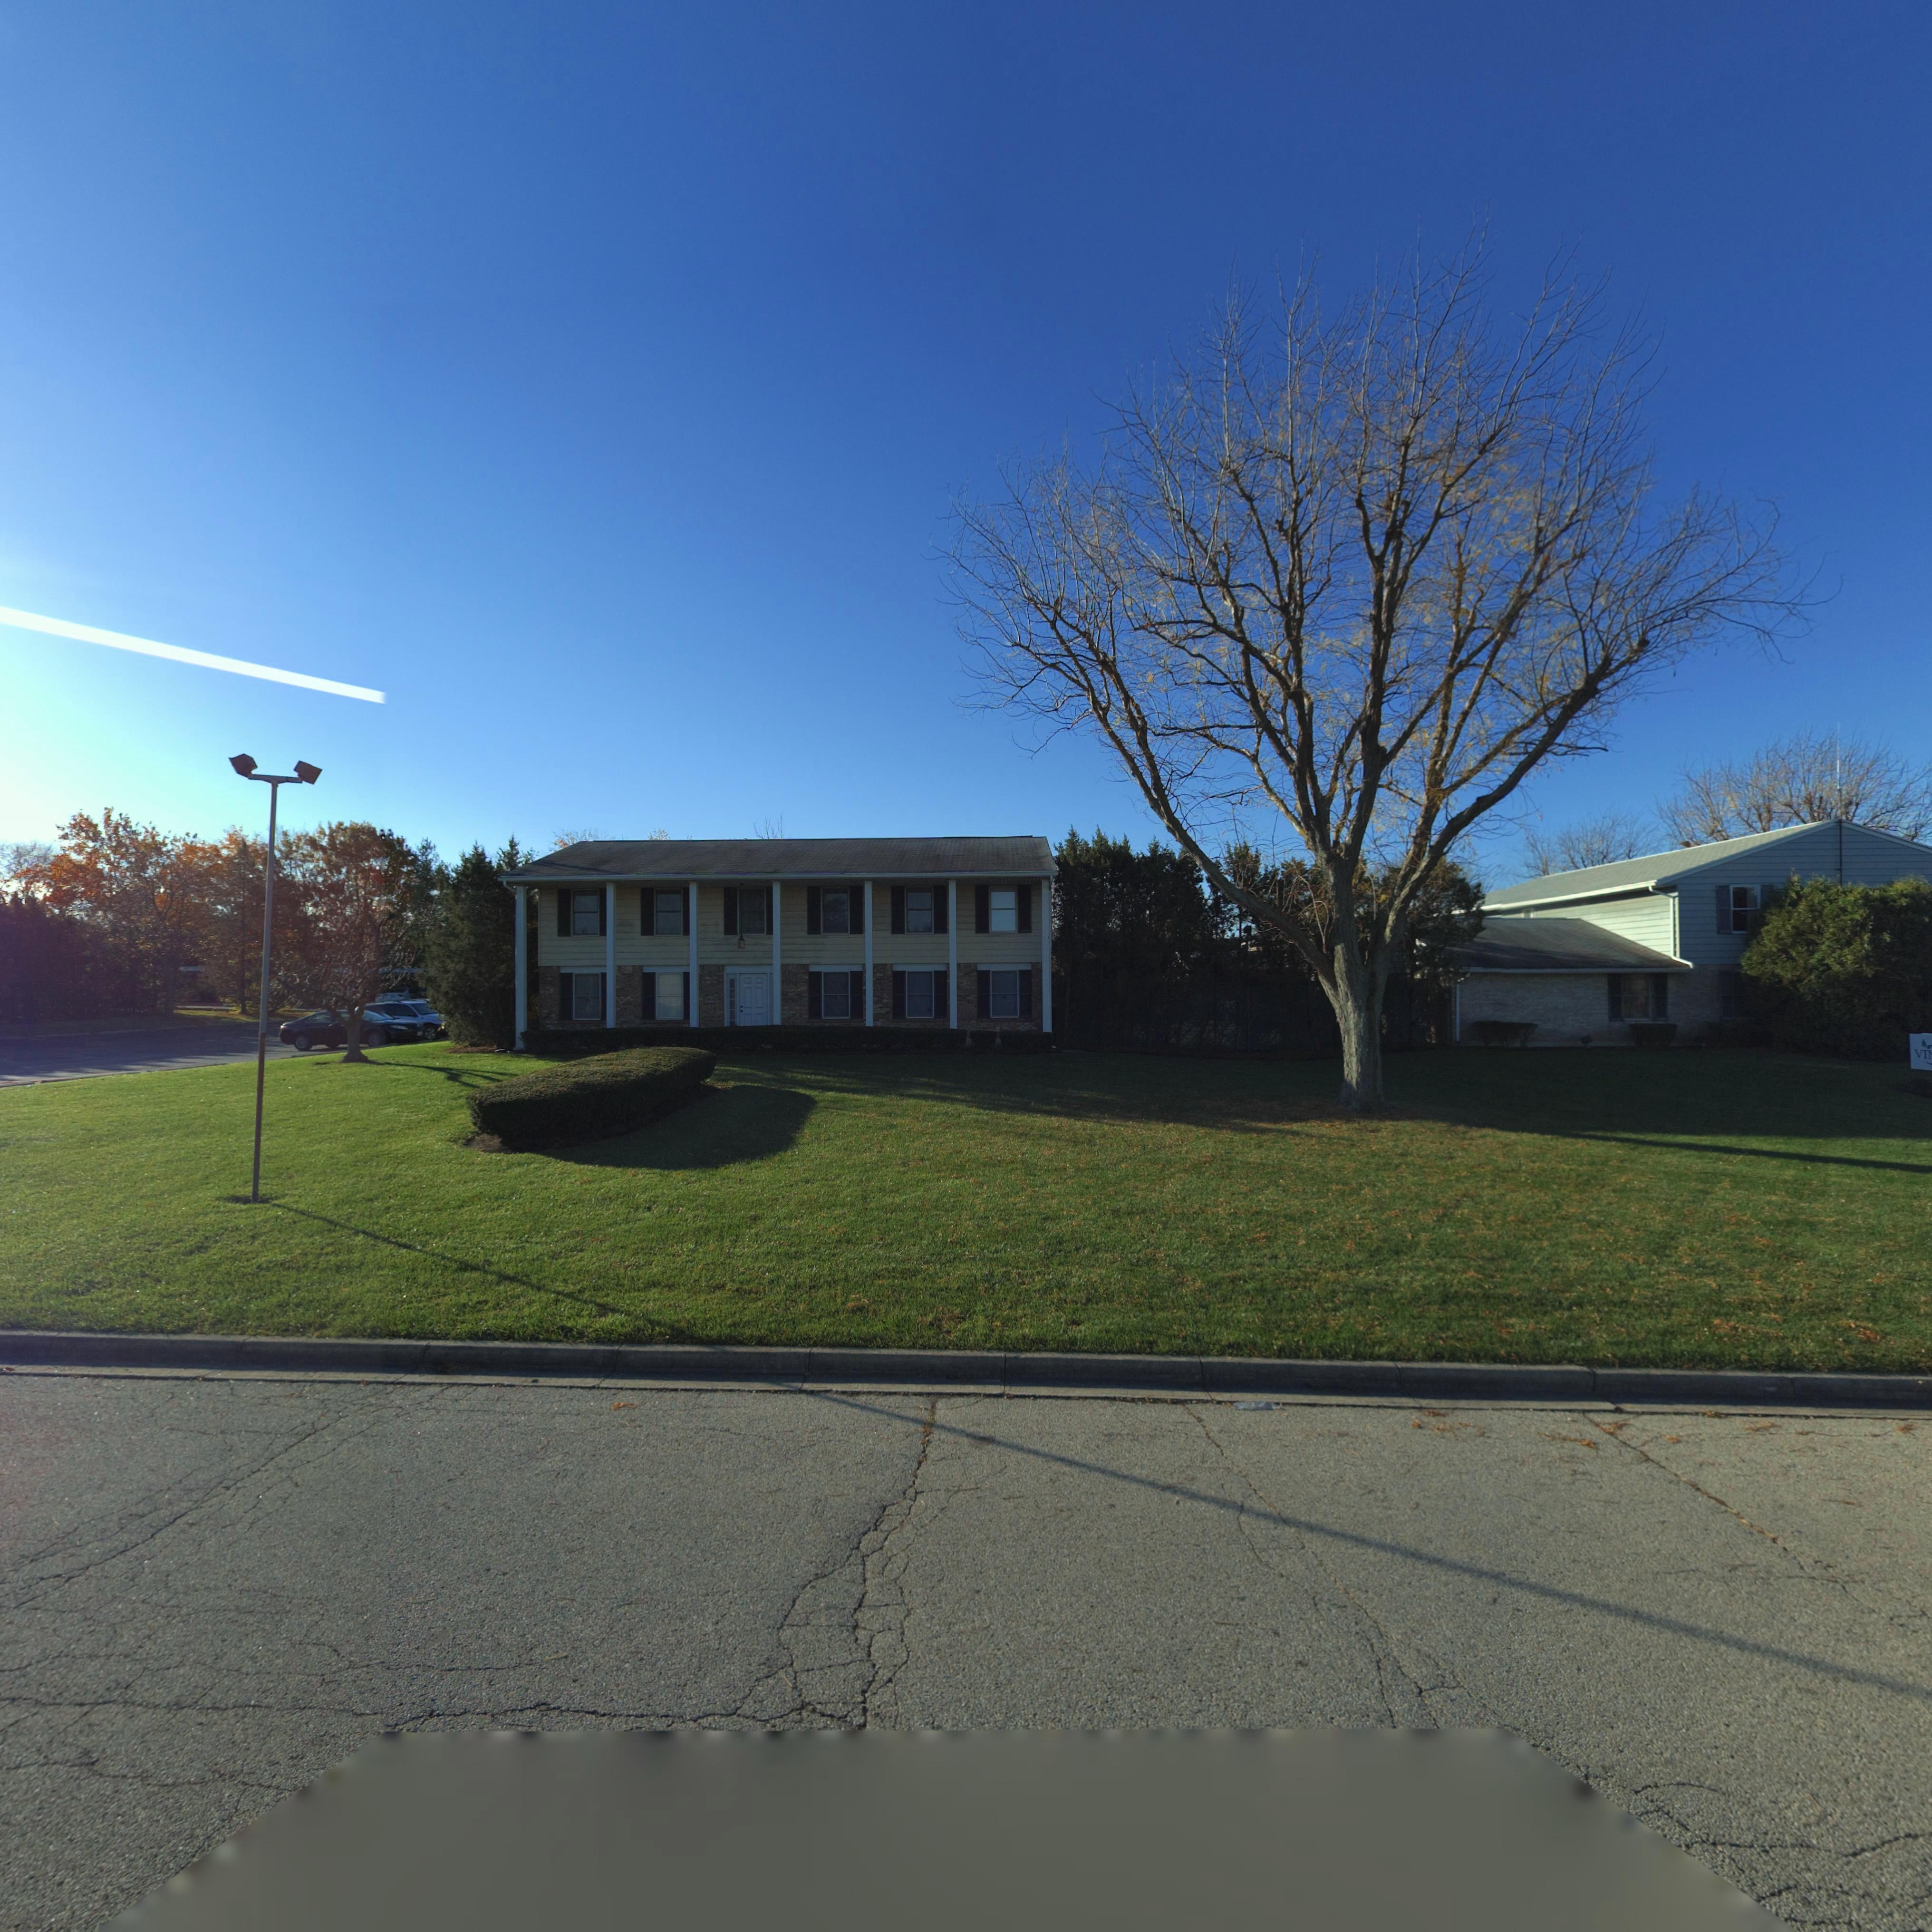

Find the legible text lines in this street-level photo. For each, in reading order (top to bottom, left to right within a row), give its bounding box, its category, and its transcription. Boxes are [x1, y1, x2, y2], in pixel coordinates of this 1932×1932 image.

[783, 985, 807, 992] StreetNumber: 5550